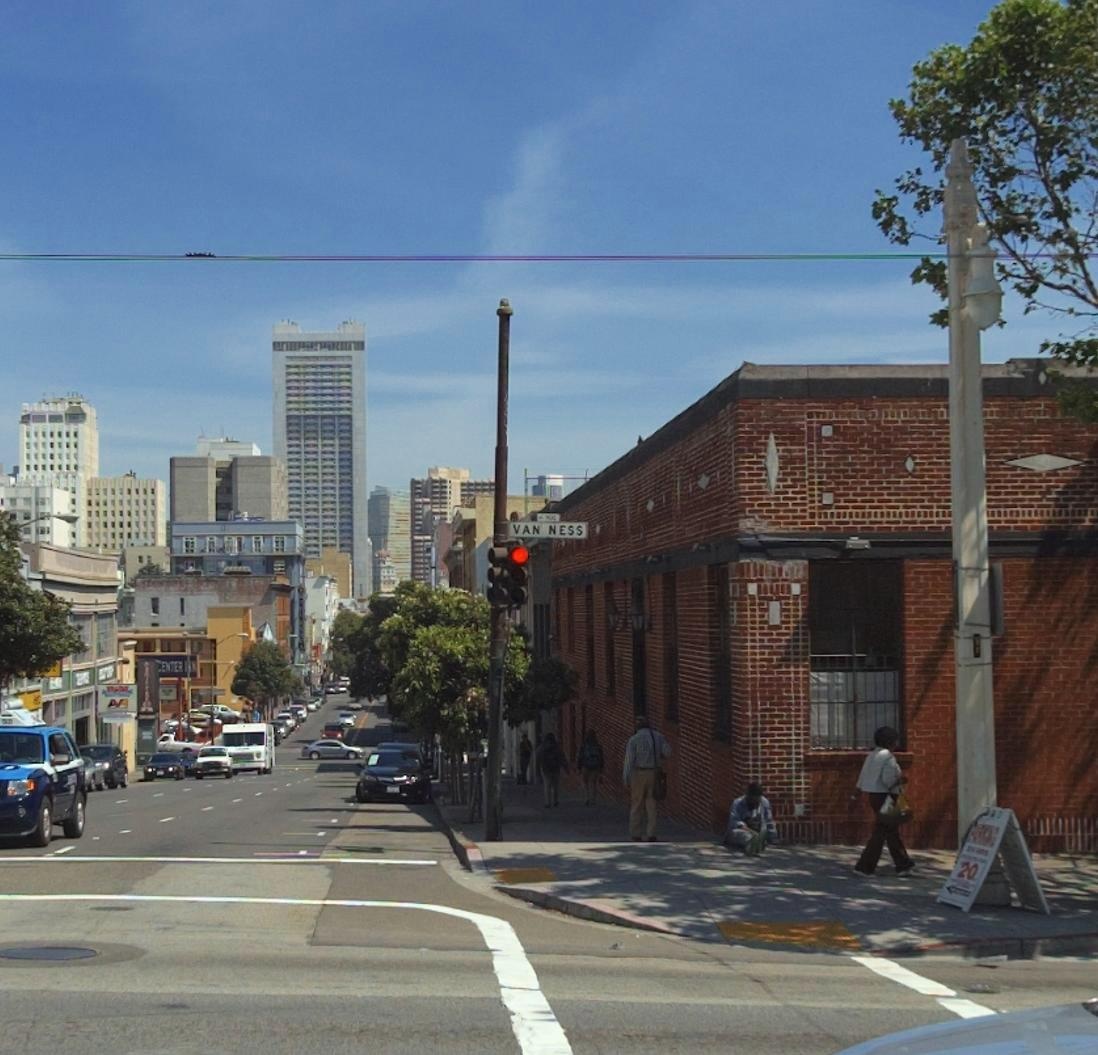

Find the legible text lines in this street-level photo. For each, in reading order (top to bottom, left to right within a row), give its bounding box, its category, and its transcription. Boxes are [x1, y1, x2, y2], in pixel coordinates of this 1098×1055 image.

[513, 522, 583, 536] StreetName: VAN NESS
[954, 859, 981, 882] None: 20